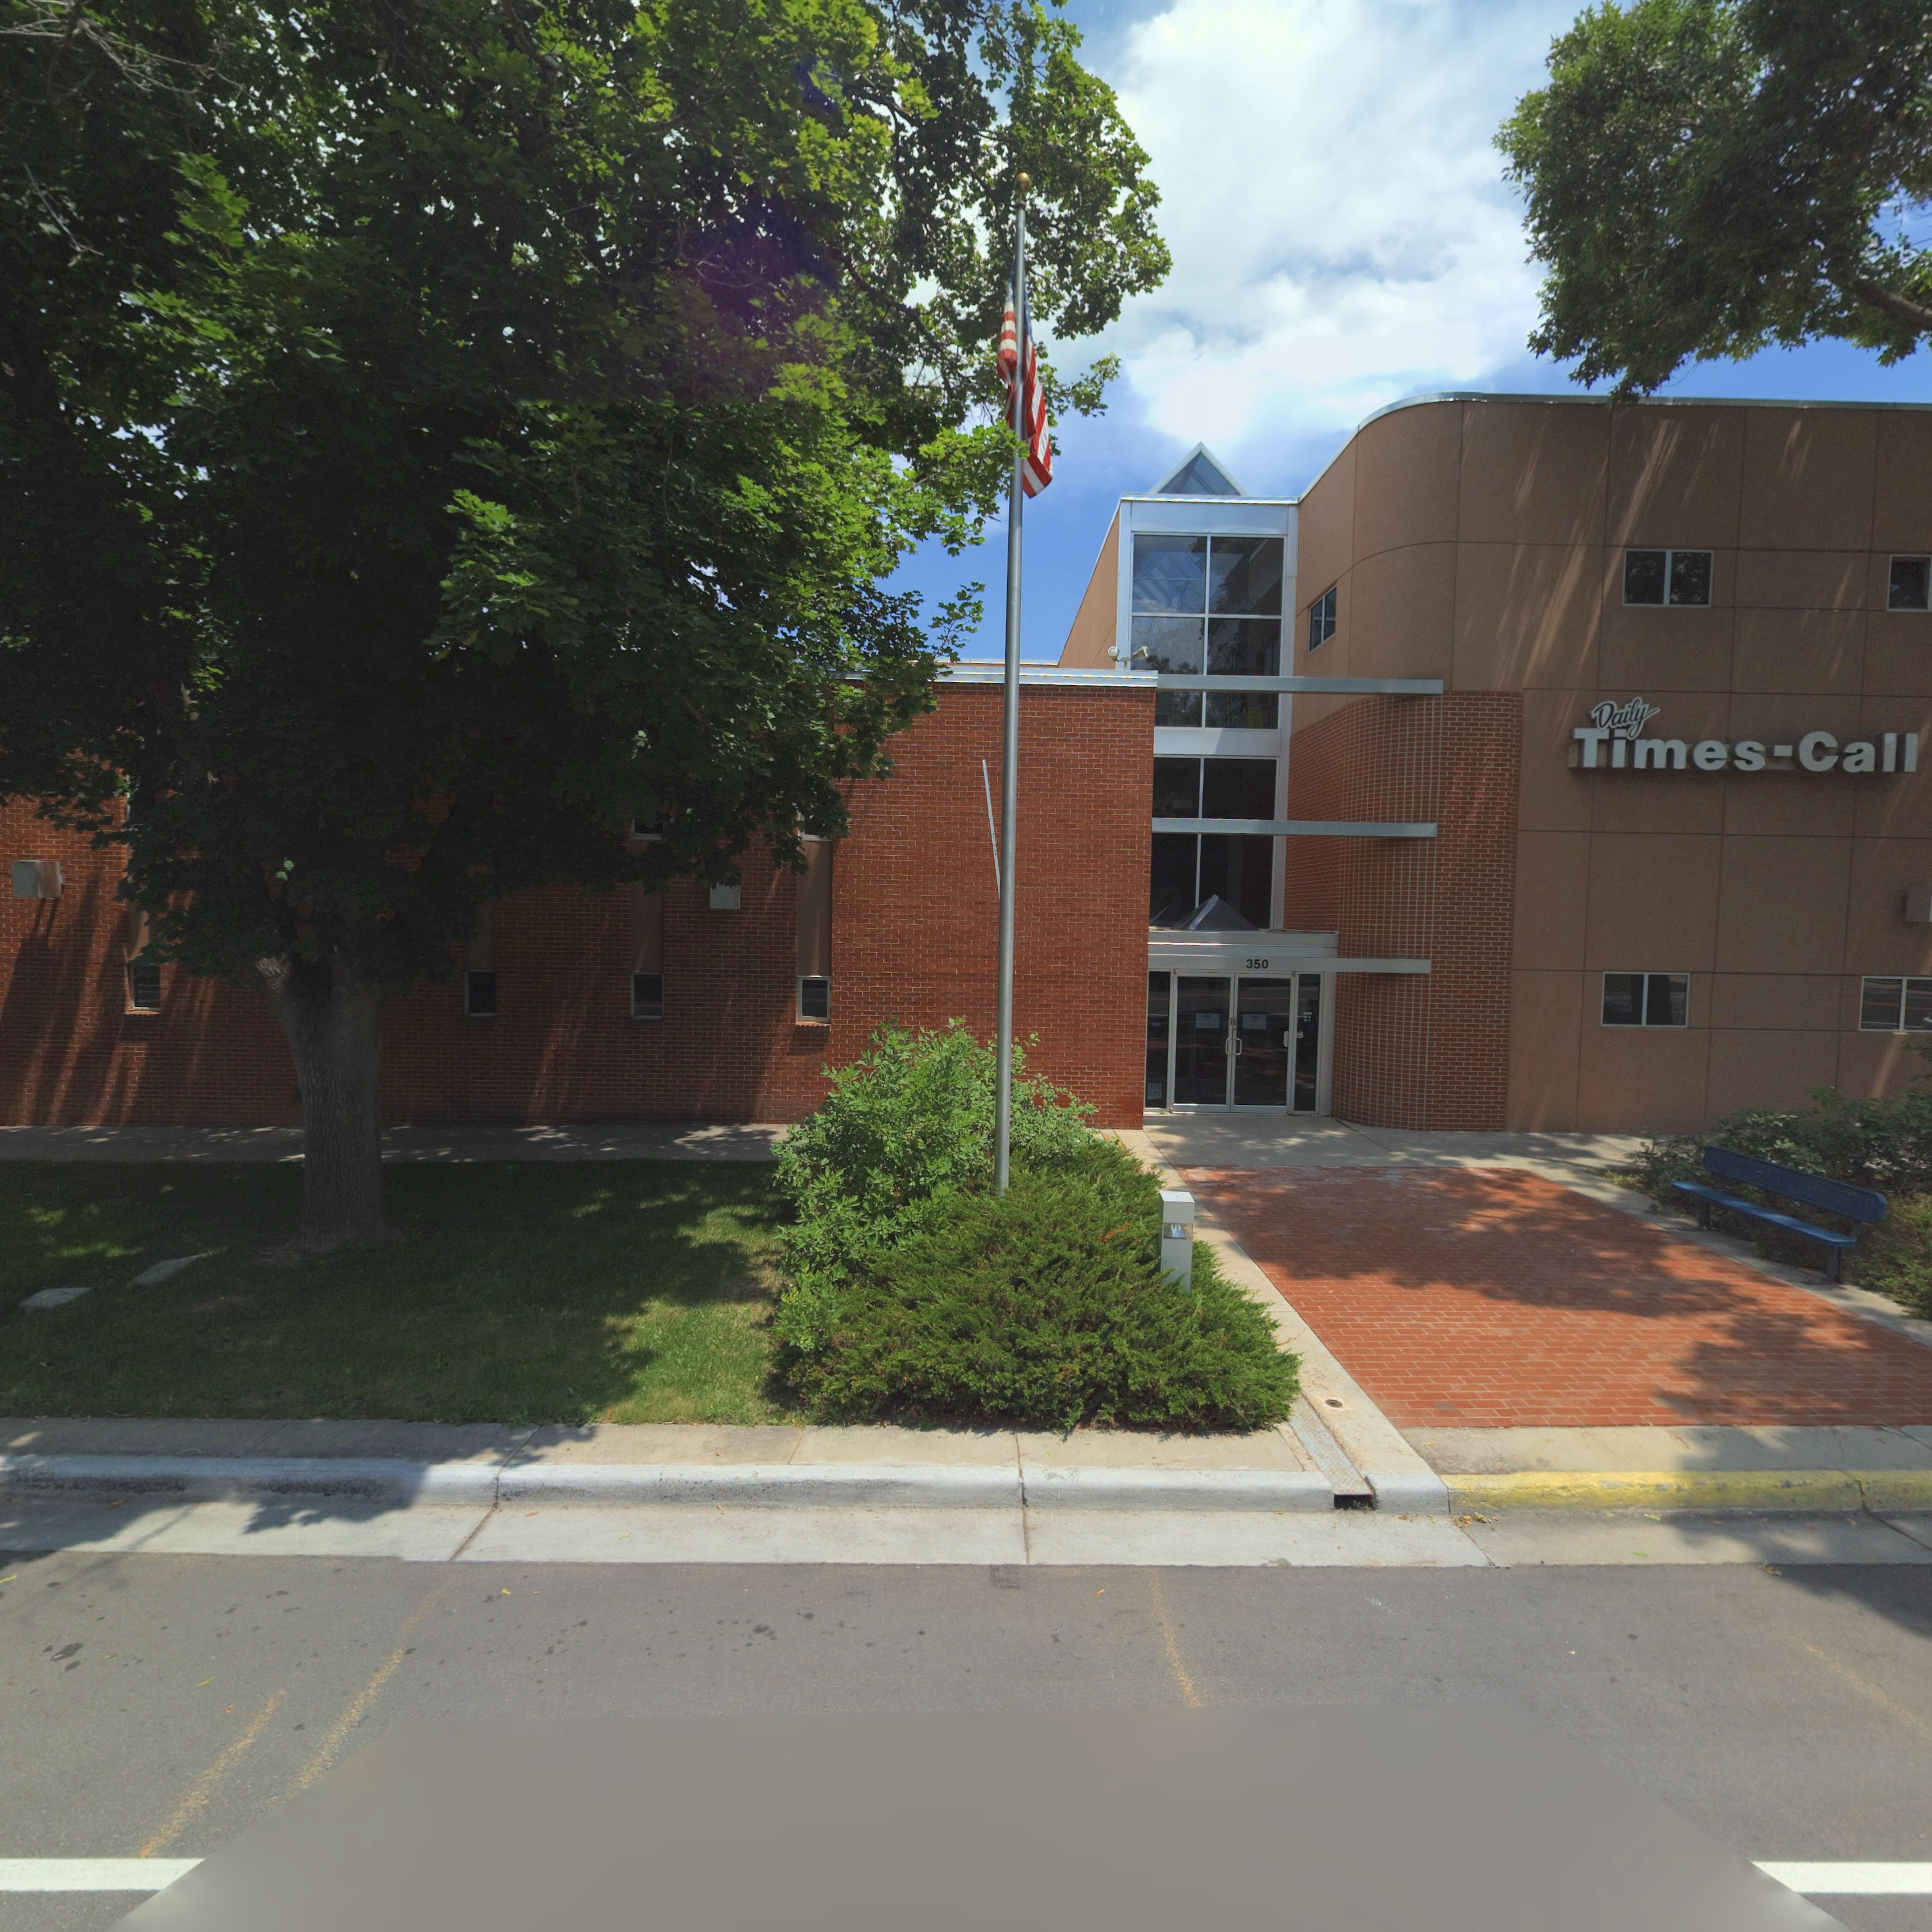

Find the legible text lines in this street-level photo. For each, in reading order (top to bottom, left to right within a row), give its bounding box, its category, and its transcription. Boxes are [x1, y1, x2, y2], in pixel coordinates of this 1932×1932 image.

[1593, 698, 1658, 738] BusinessName: Daily
[1572, 725, 1920, 774] BusinessName: Times * Call
[1246, 958, 1268, 969] StreetNumber: 350